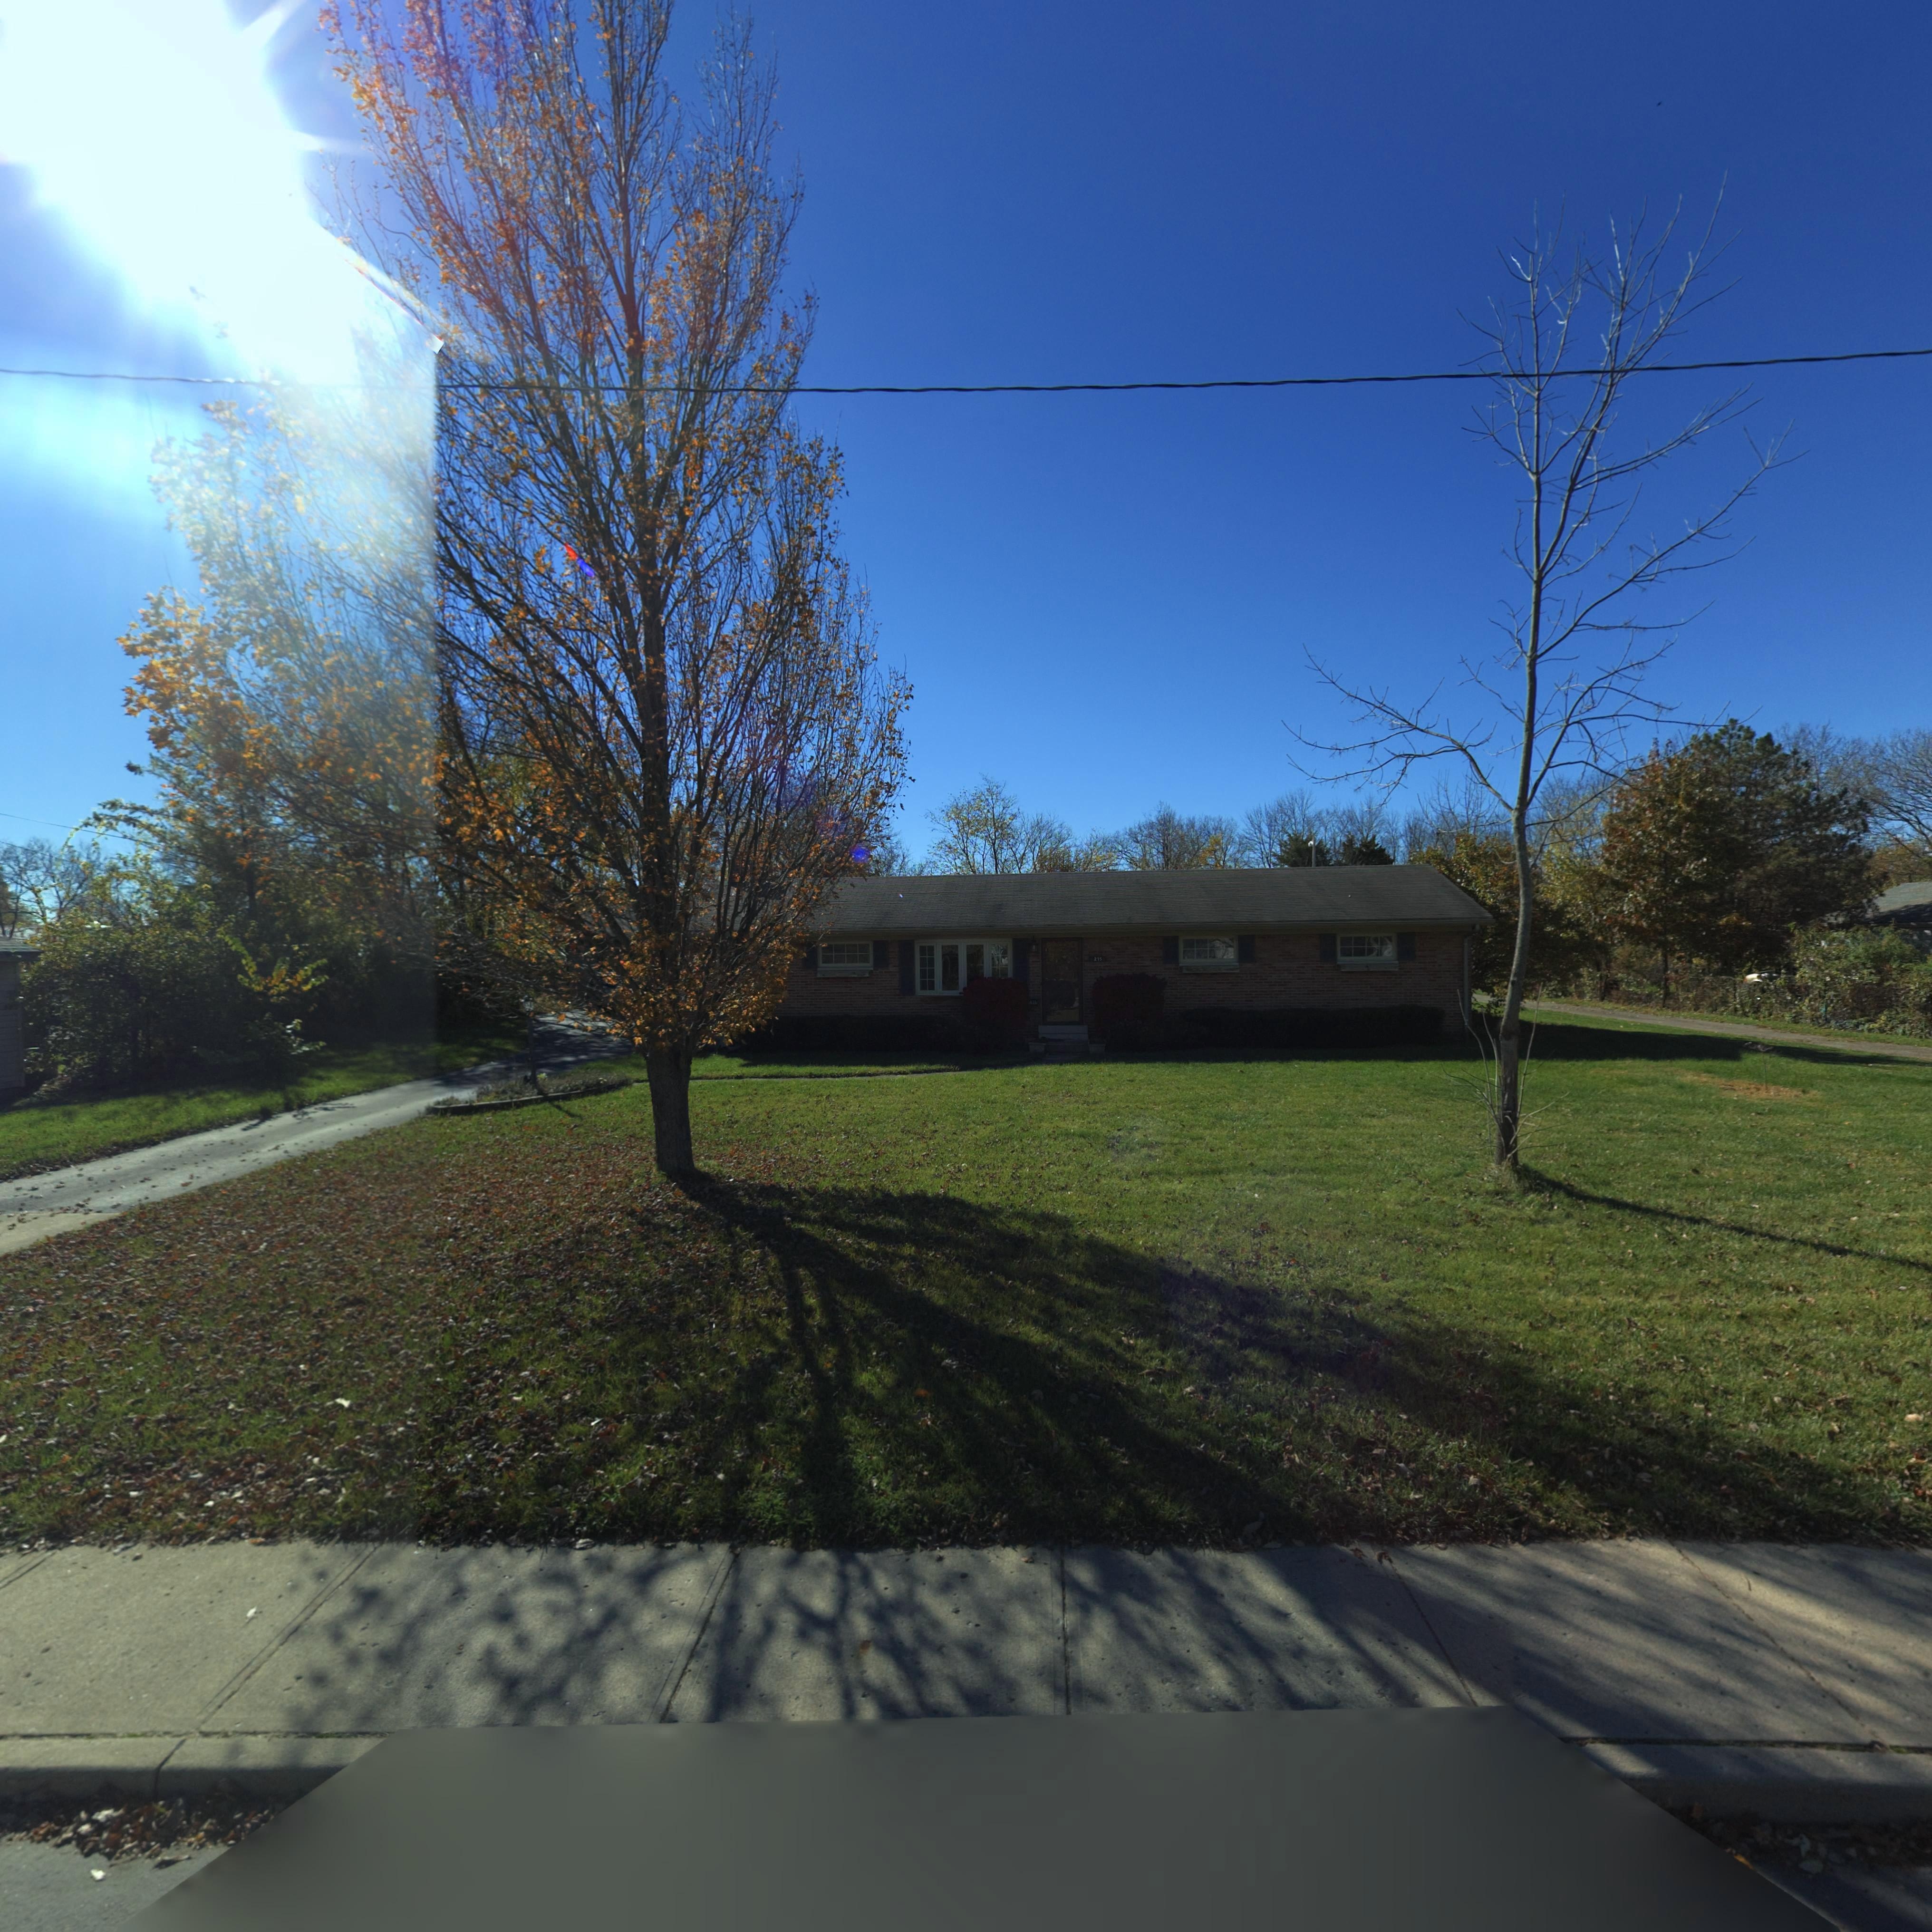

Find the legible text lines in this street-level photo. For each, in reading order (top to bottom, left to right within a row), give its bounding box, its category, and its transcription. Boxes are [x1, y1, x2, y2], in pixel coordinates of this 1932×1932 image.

[1094, 957, 1102, 961] StreetNumber: 215